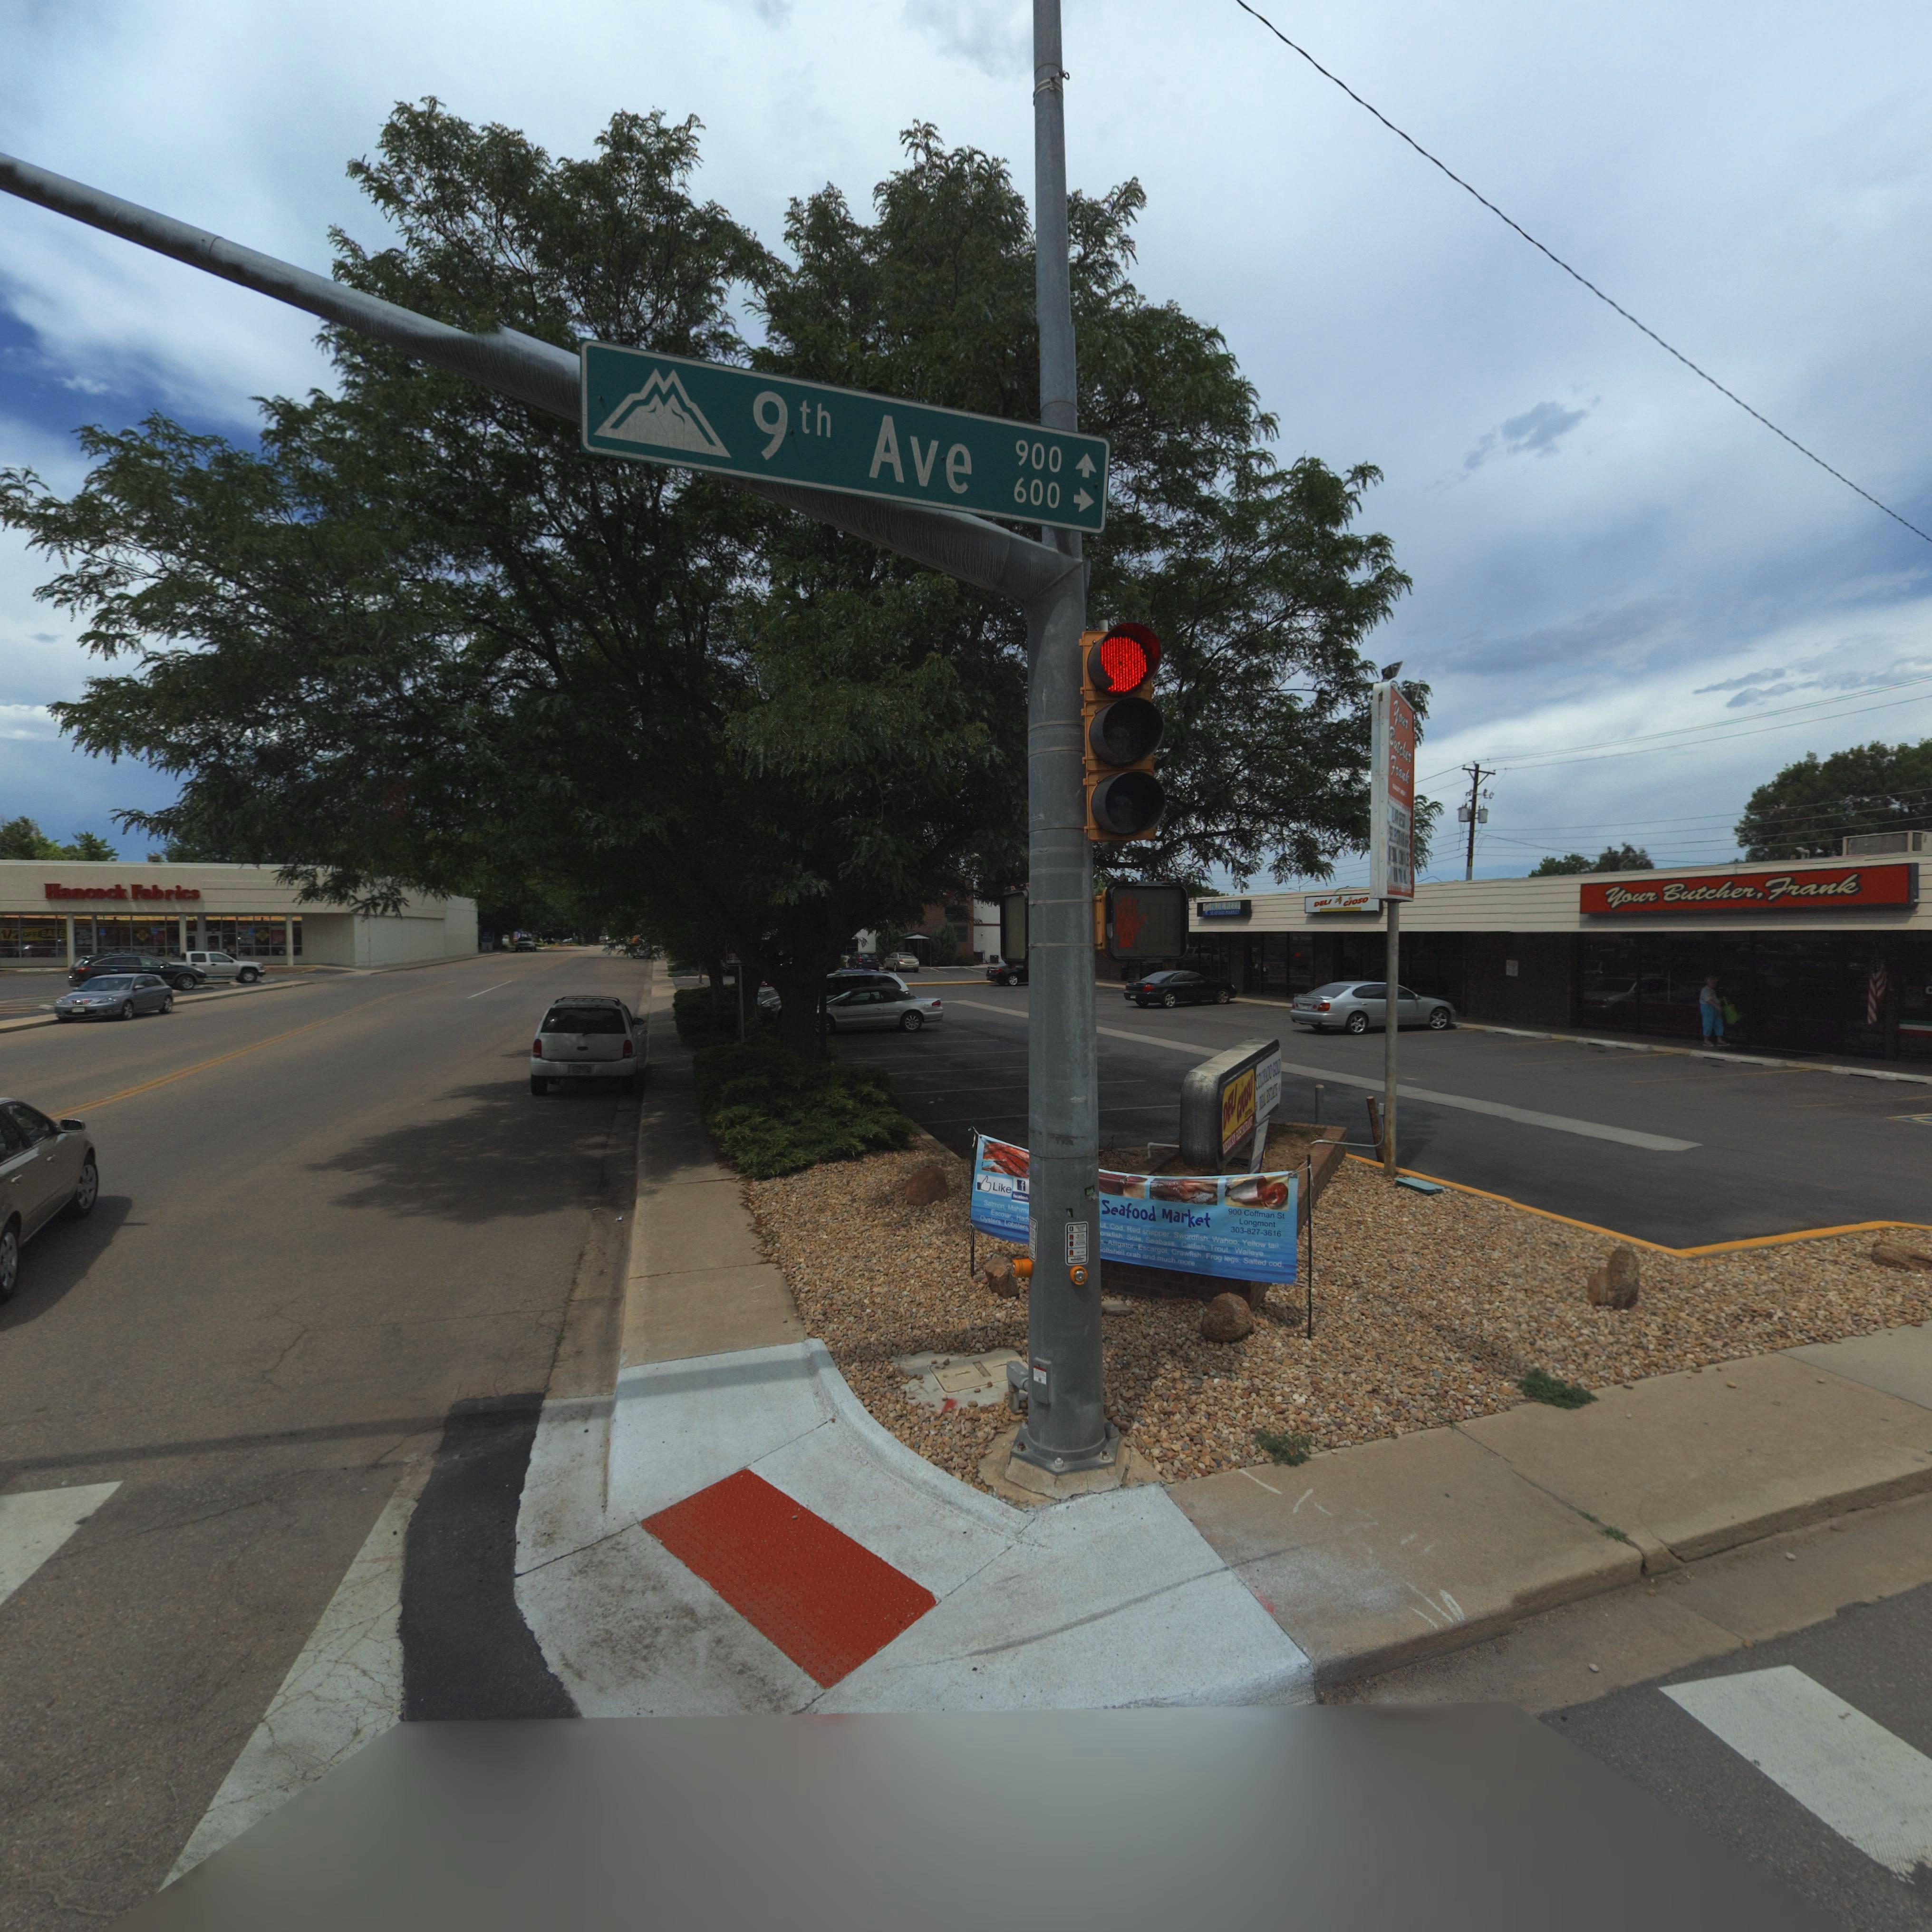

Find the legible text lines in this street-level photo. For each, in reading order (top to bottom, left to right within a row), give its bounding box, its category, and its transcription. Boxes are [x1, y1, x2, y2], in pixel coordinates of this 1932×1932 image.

[753, 389, 971, 496] StreetName: 9th Ave
[1015, 438, 1063, 473] StreetNumberRange: 900
[1014, 475, 1094, 513] StreetNumberRange: 600 ->
[1393, 699, 1409, 730] BusinessName: Your
[1388, 724, 1412, 763] BusinessName: Butcher
[1390, 753, 1410, 785] BusinessName: Frank
[45, 883, 200, 899] BusinessName: Hancock Fabrics
[1210, 909, 1239, 915] BusinessName: SEAFOOD MARKET
[1211, 901, 1239, 910] BusinessName: BLUE REEF
[1314, 898, 1332, 907] BusinessName: DELI
[1343, 897, 1369, 906] BusinessName: CIOSO
[1604, 872, 1861, 908] BusinessName: Your Butcher, Frank
[1223, 1082, 1237, 1130] BusinessName: DELI
[1236, 1073, 1253, 1122] BusinessName: CIOSO
[1100, 1199, 1211, 1229] BusinessName: Seafood Market
[1228, 1208, 1242, 1215] StreetNumber: 900
[1244, 1209, 1285, 1219] StreetName: Coffman St